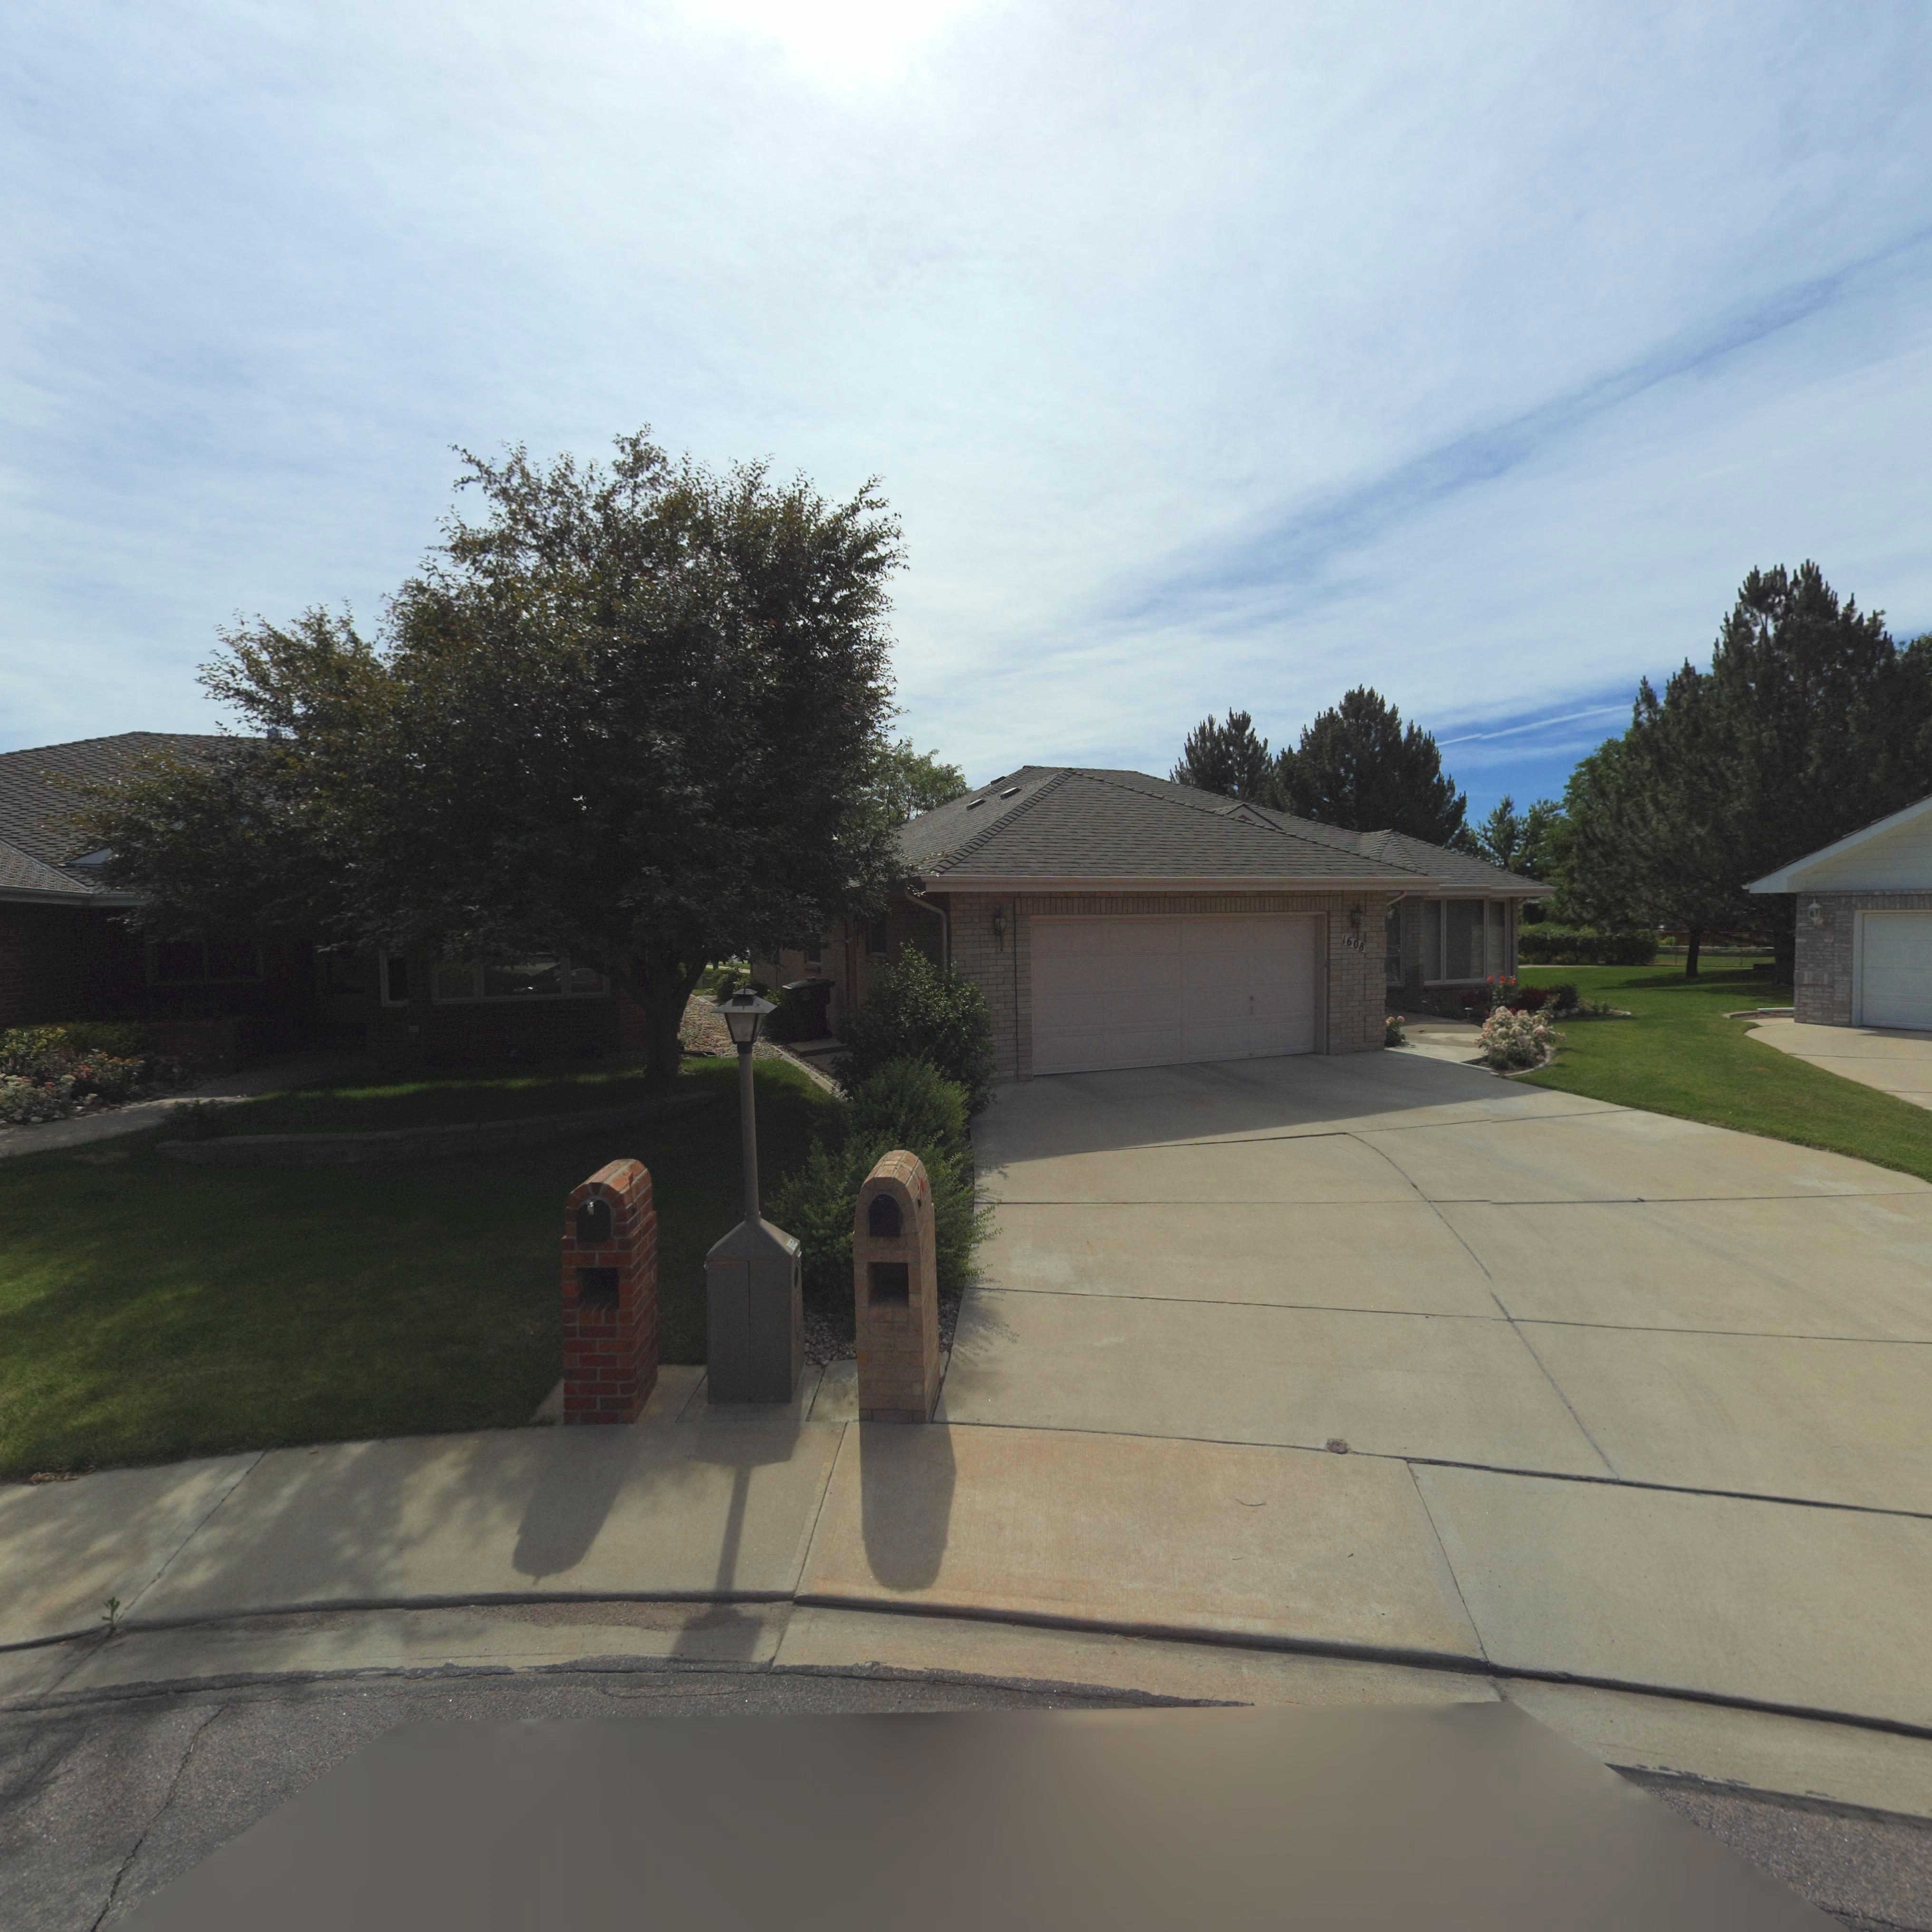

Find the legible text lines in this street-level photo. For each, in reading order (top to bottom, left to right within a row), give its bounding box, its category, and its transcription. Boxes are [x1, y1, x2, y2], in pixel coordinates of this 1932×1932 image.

[1343, 934, 1364, 951] StreetNumber: 1608